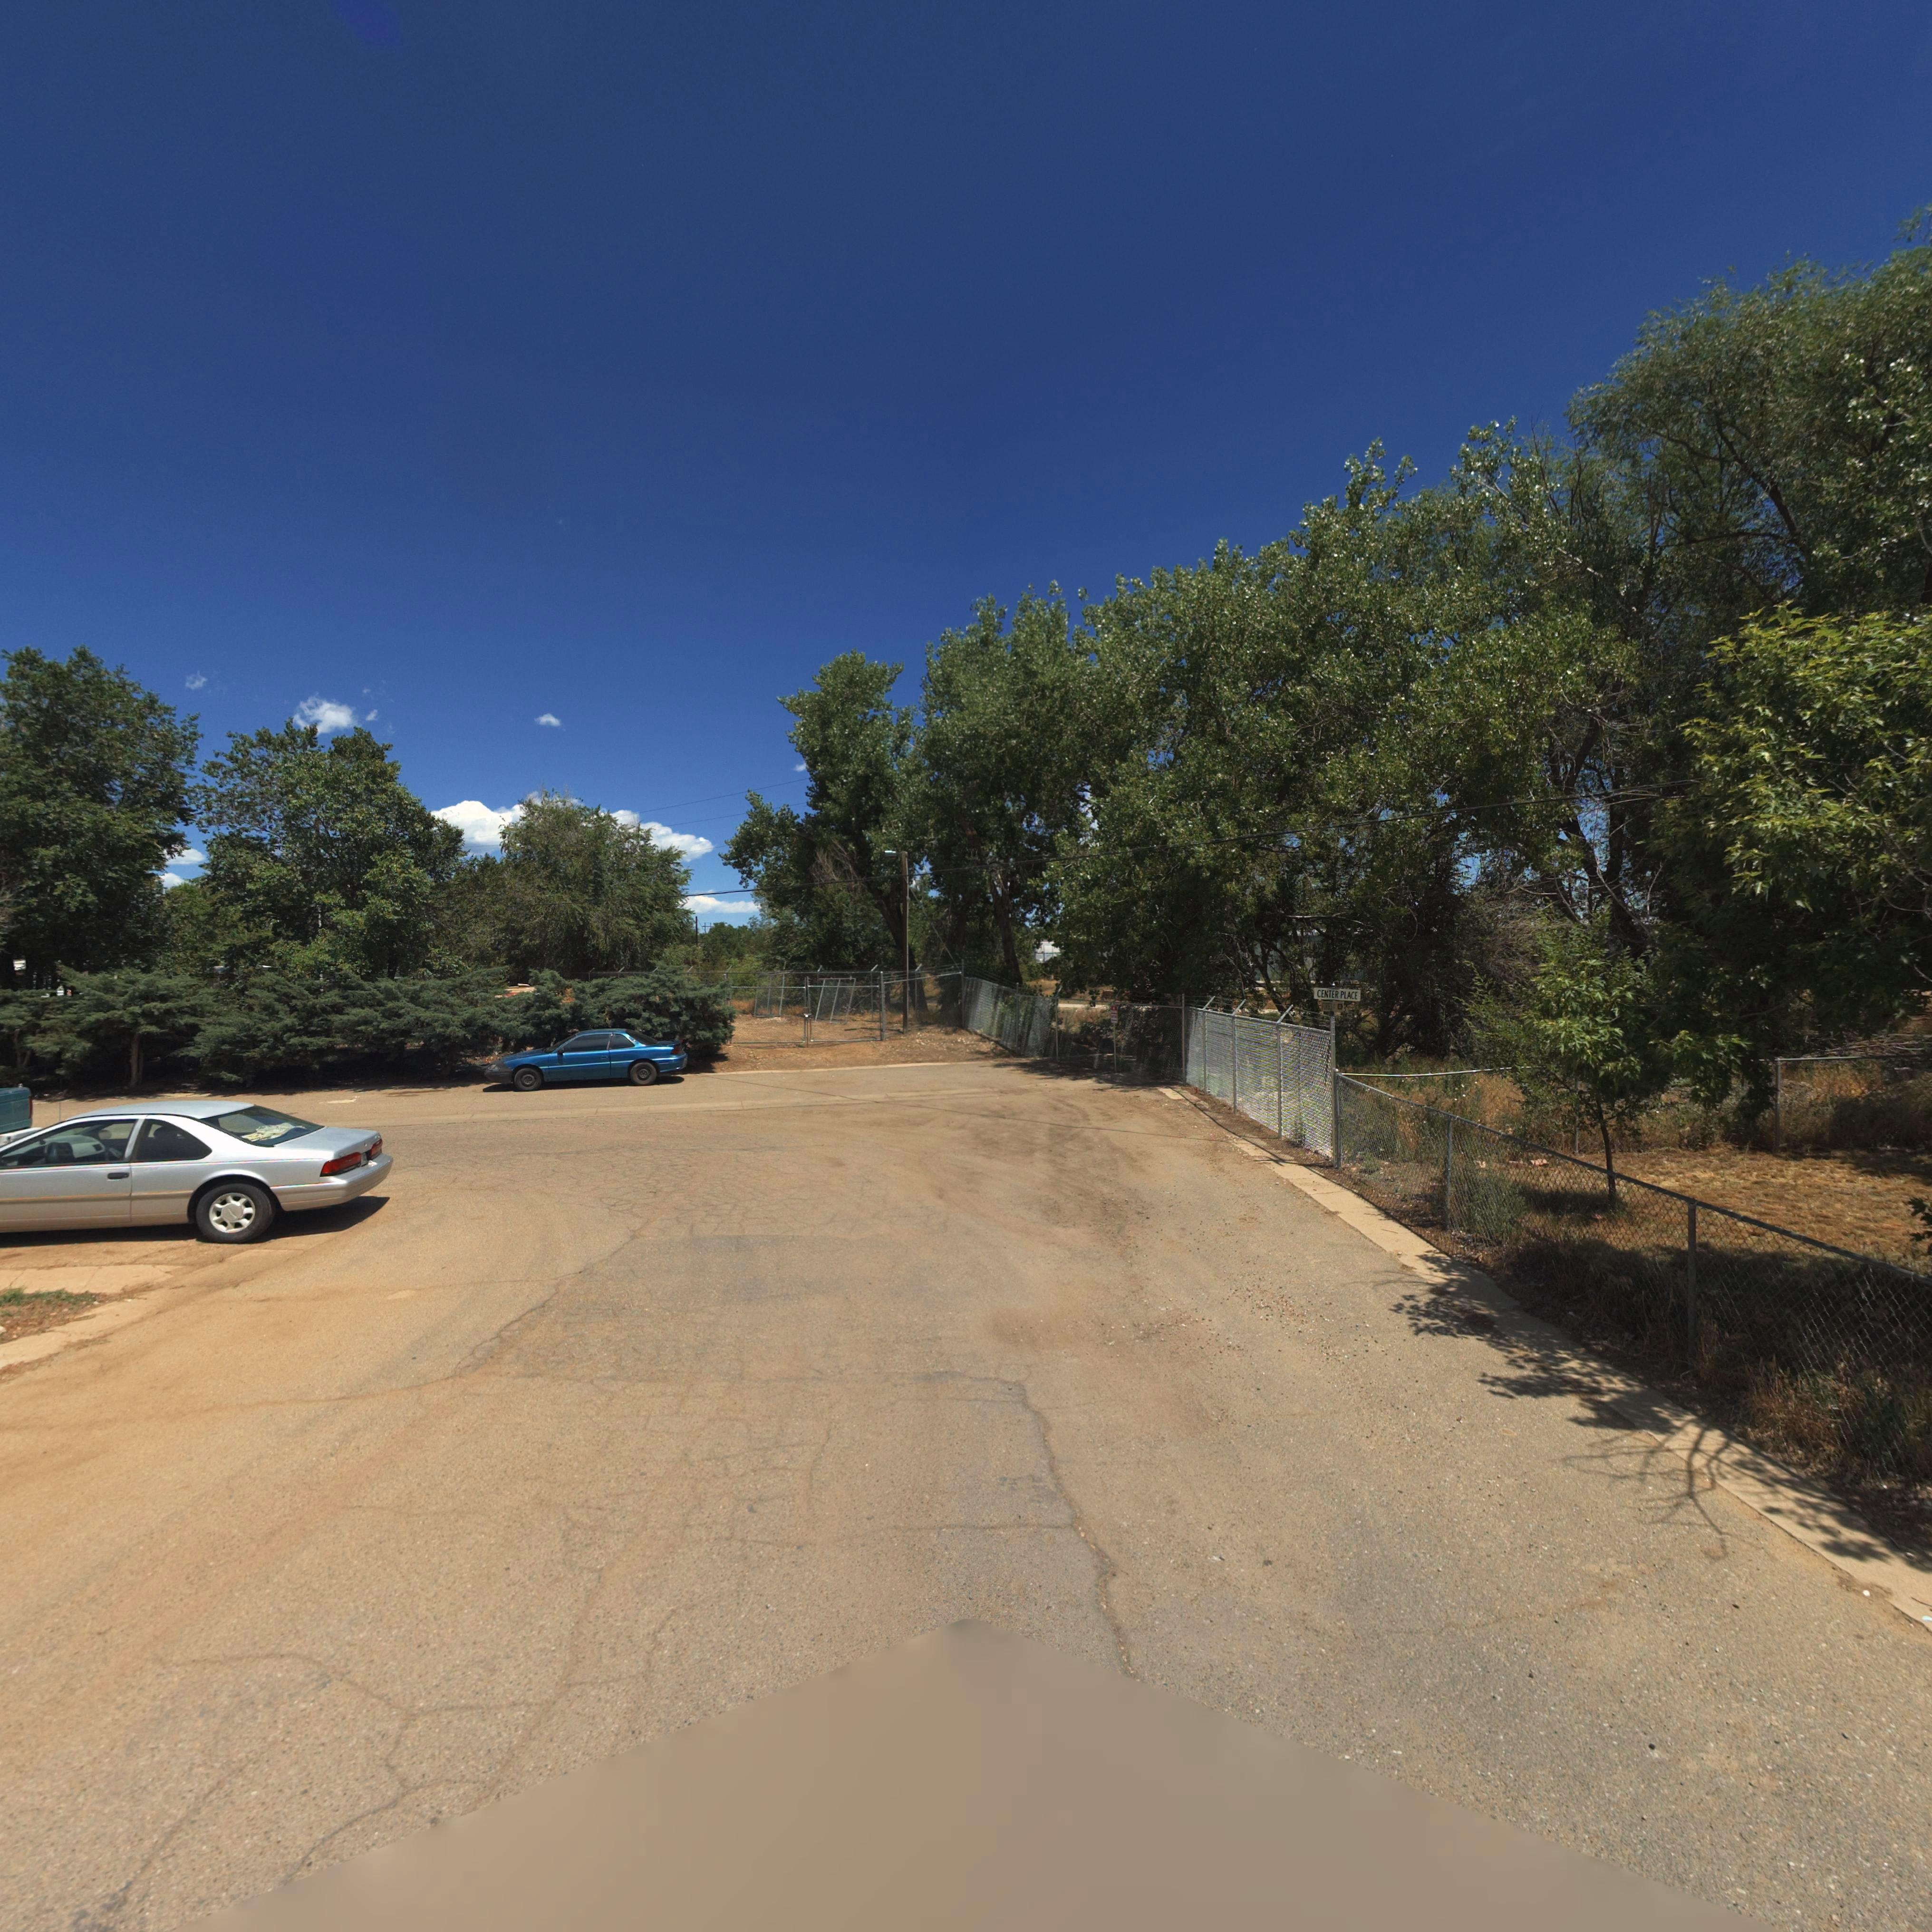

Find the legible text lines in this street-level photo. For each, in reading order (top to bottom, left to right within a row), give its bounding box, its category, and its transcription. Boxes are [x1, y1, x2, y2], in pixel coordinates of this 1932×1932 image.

[1316, 989, 1358, 1000] StreetName: CENTER PLACE
[1322, 1002, 1333, 1010] StreetName: FORBES